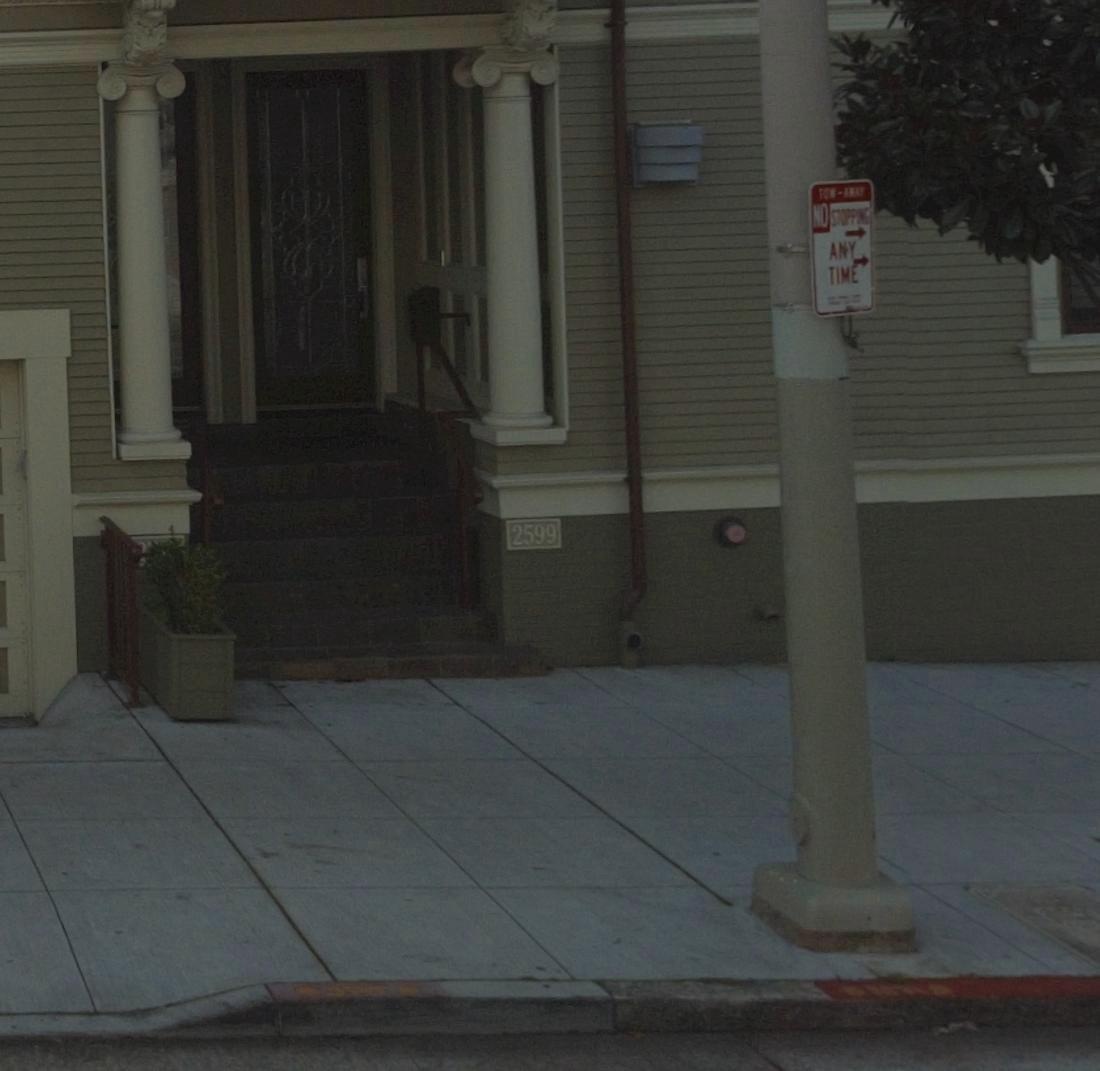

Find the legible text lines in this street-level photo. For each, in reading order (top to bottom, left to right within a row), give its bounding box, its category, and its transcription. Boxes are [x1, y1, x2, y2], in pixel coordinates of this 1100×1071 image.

[813, 183, 868, 201] None: TOW-AWAY
[810, 201, 873, 231] None: NO STOPPING
[824, 237, 860, 264] None: ANY
[825, 260, 863, 290] None: TIME
[510, 521, 559, 547] StreetNumber: 2599